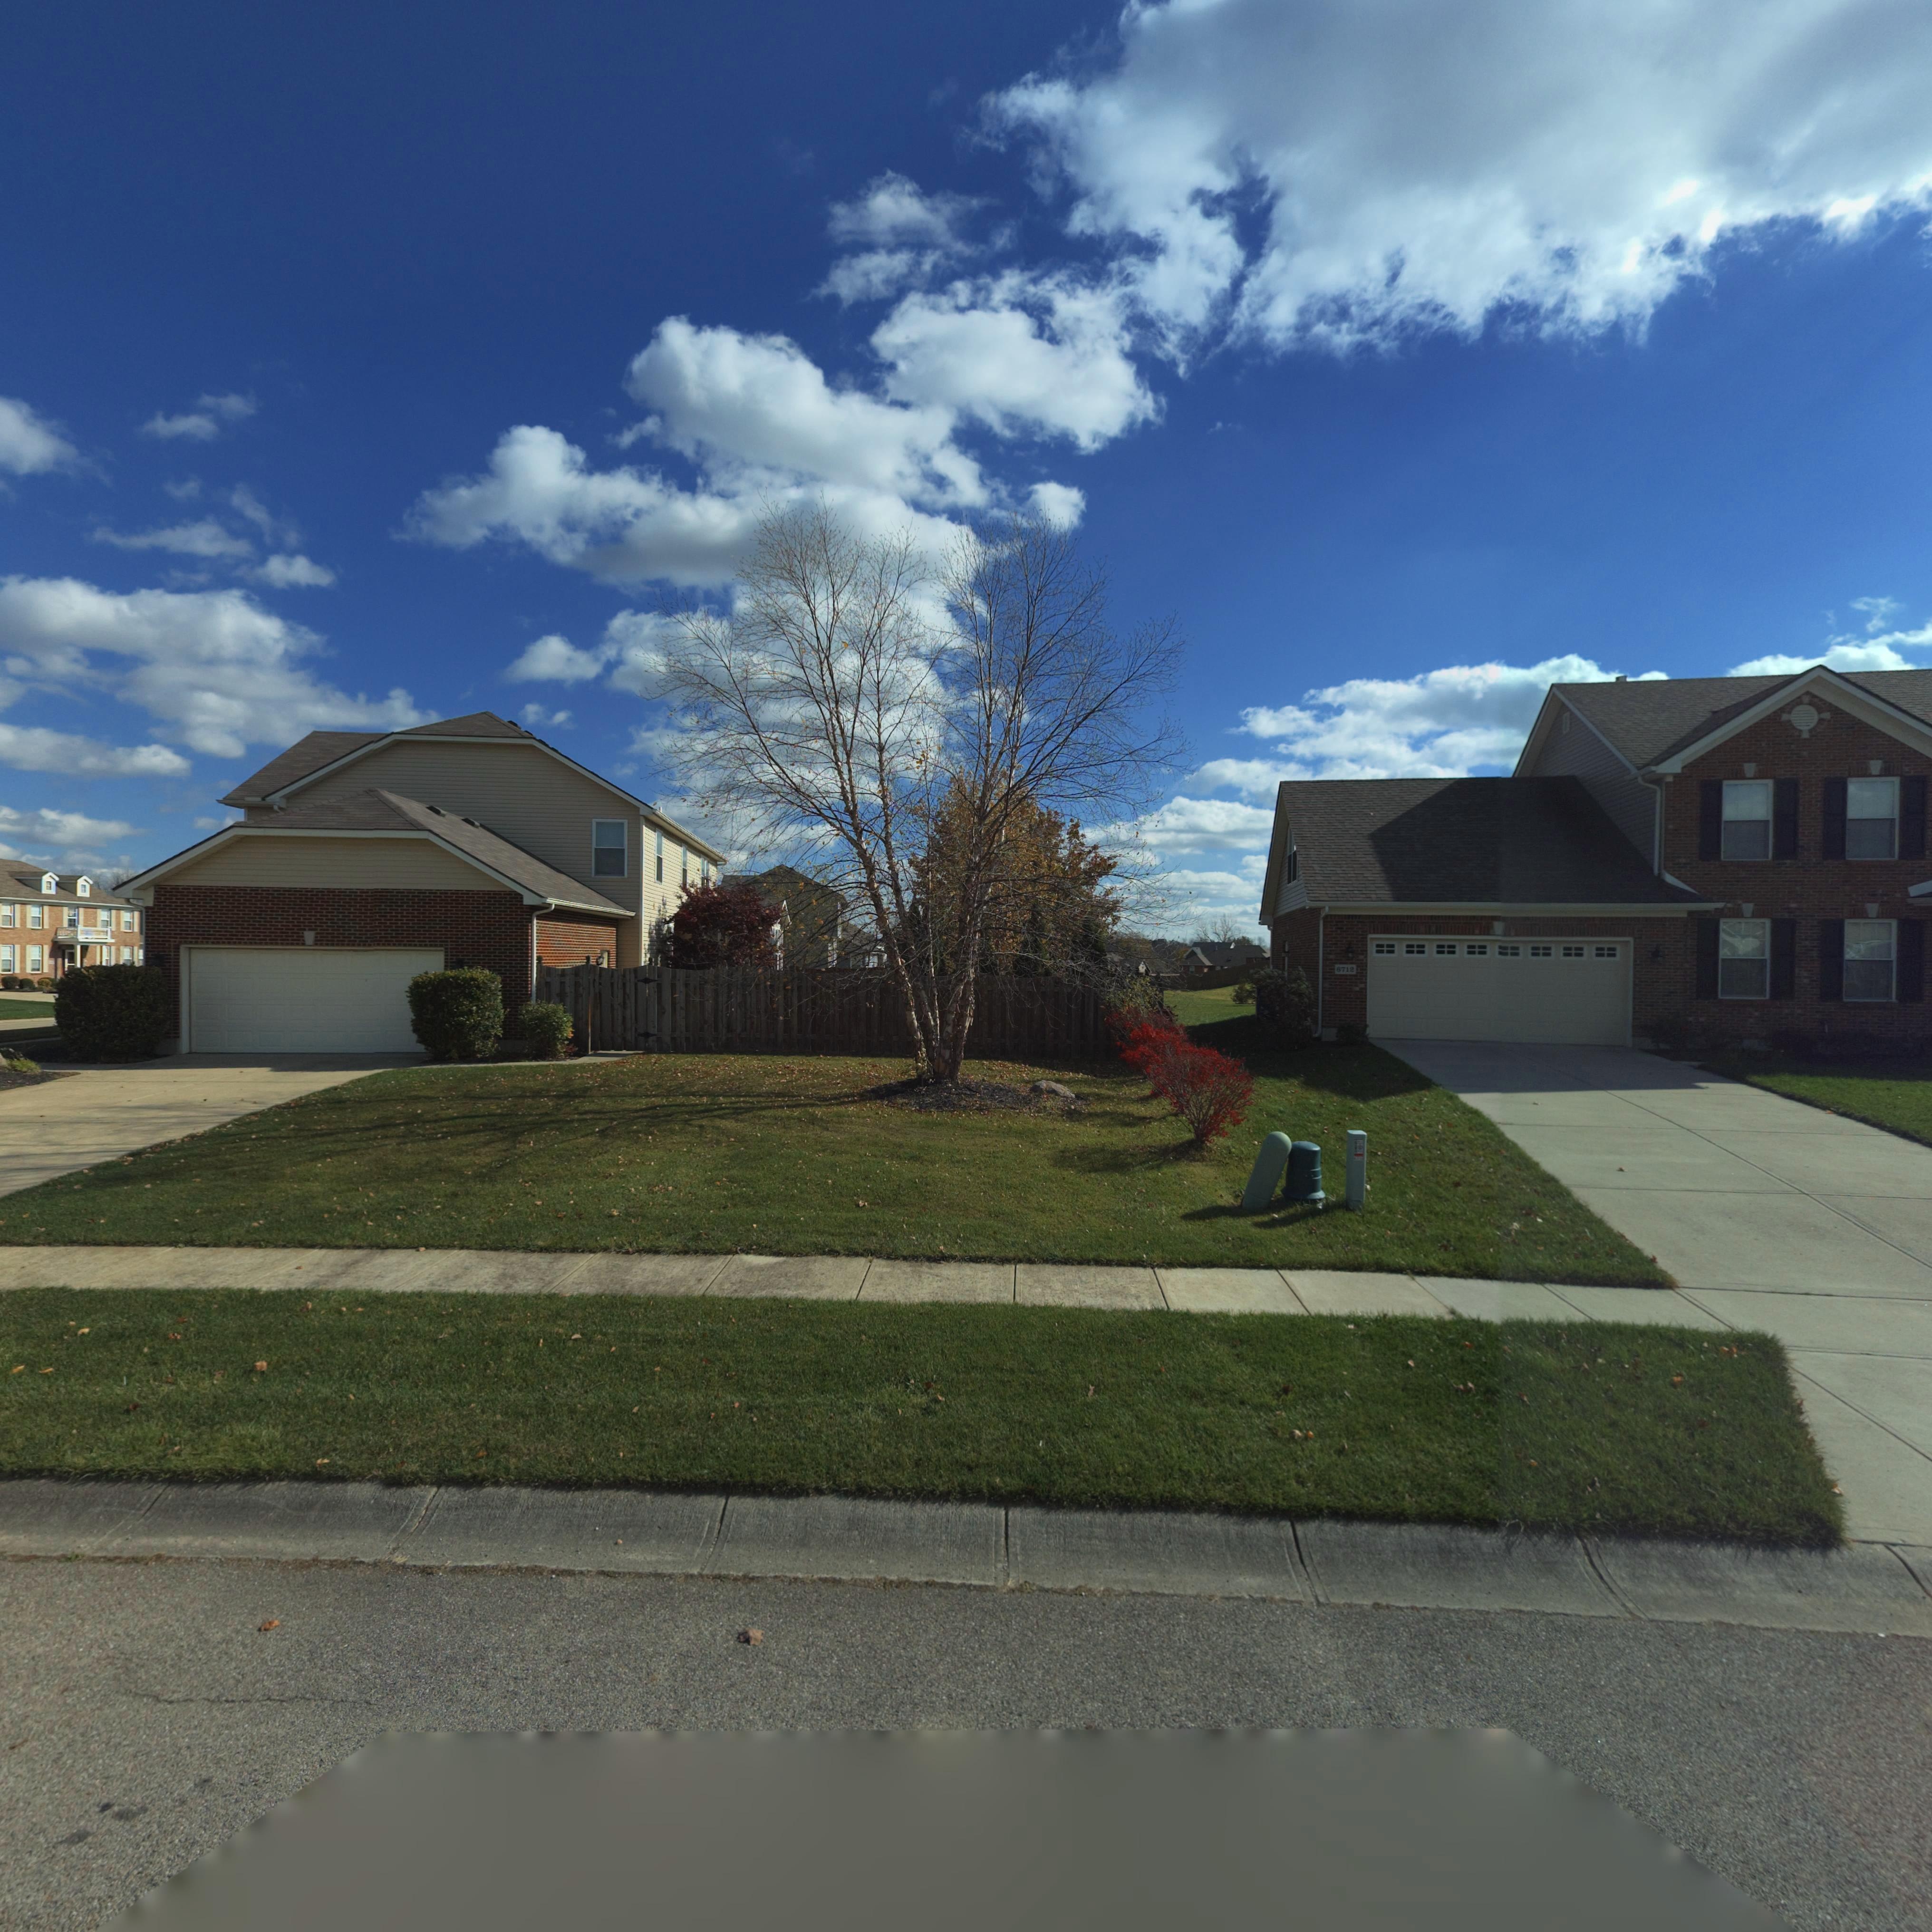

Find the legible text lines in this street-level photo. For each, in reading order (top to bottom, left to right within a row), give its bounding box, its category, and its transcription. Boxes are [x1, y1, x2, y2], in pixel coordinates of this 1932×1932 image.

[1335, 966, 1354, 973] StreetNumber: 6712